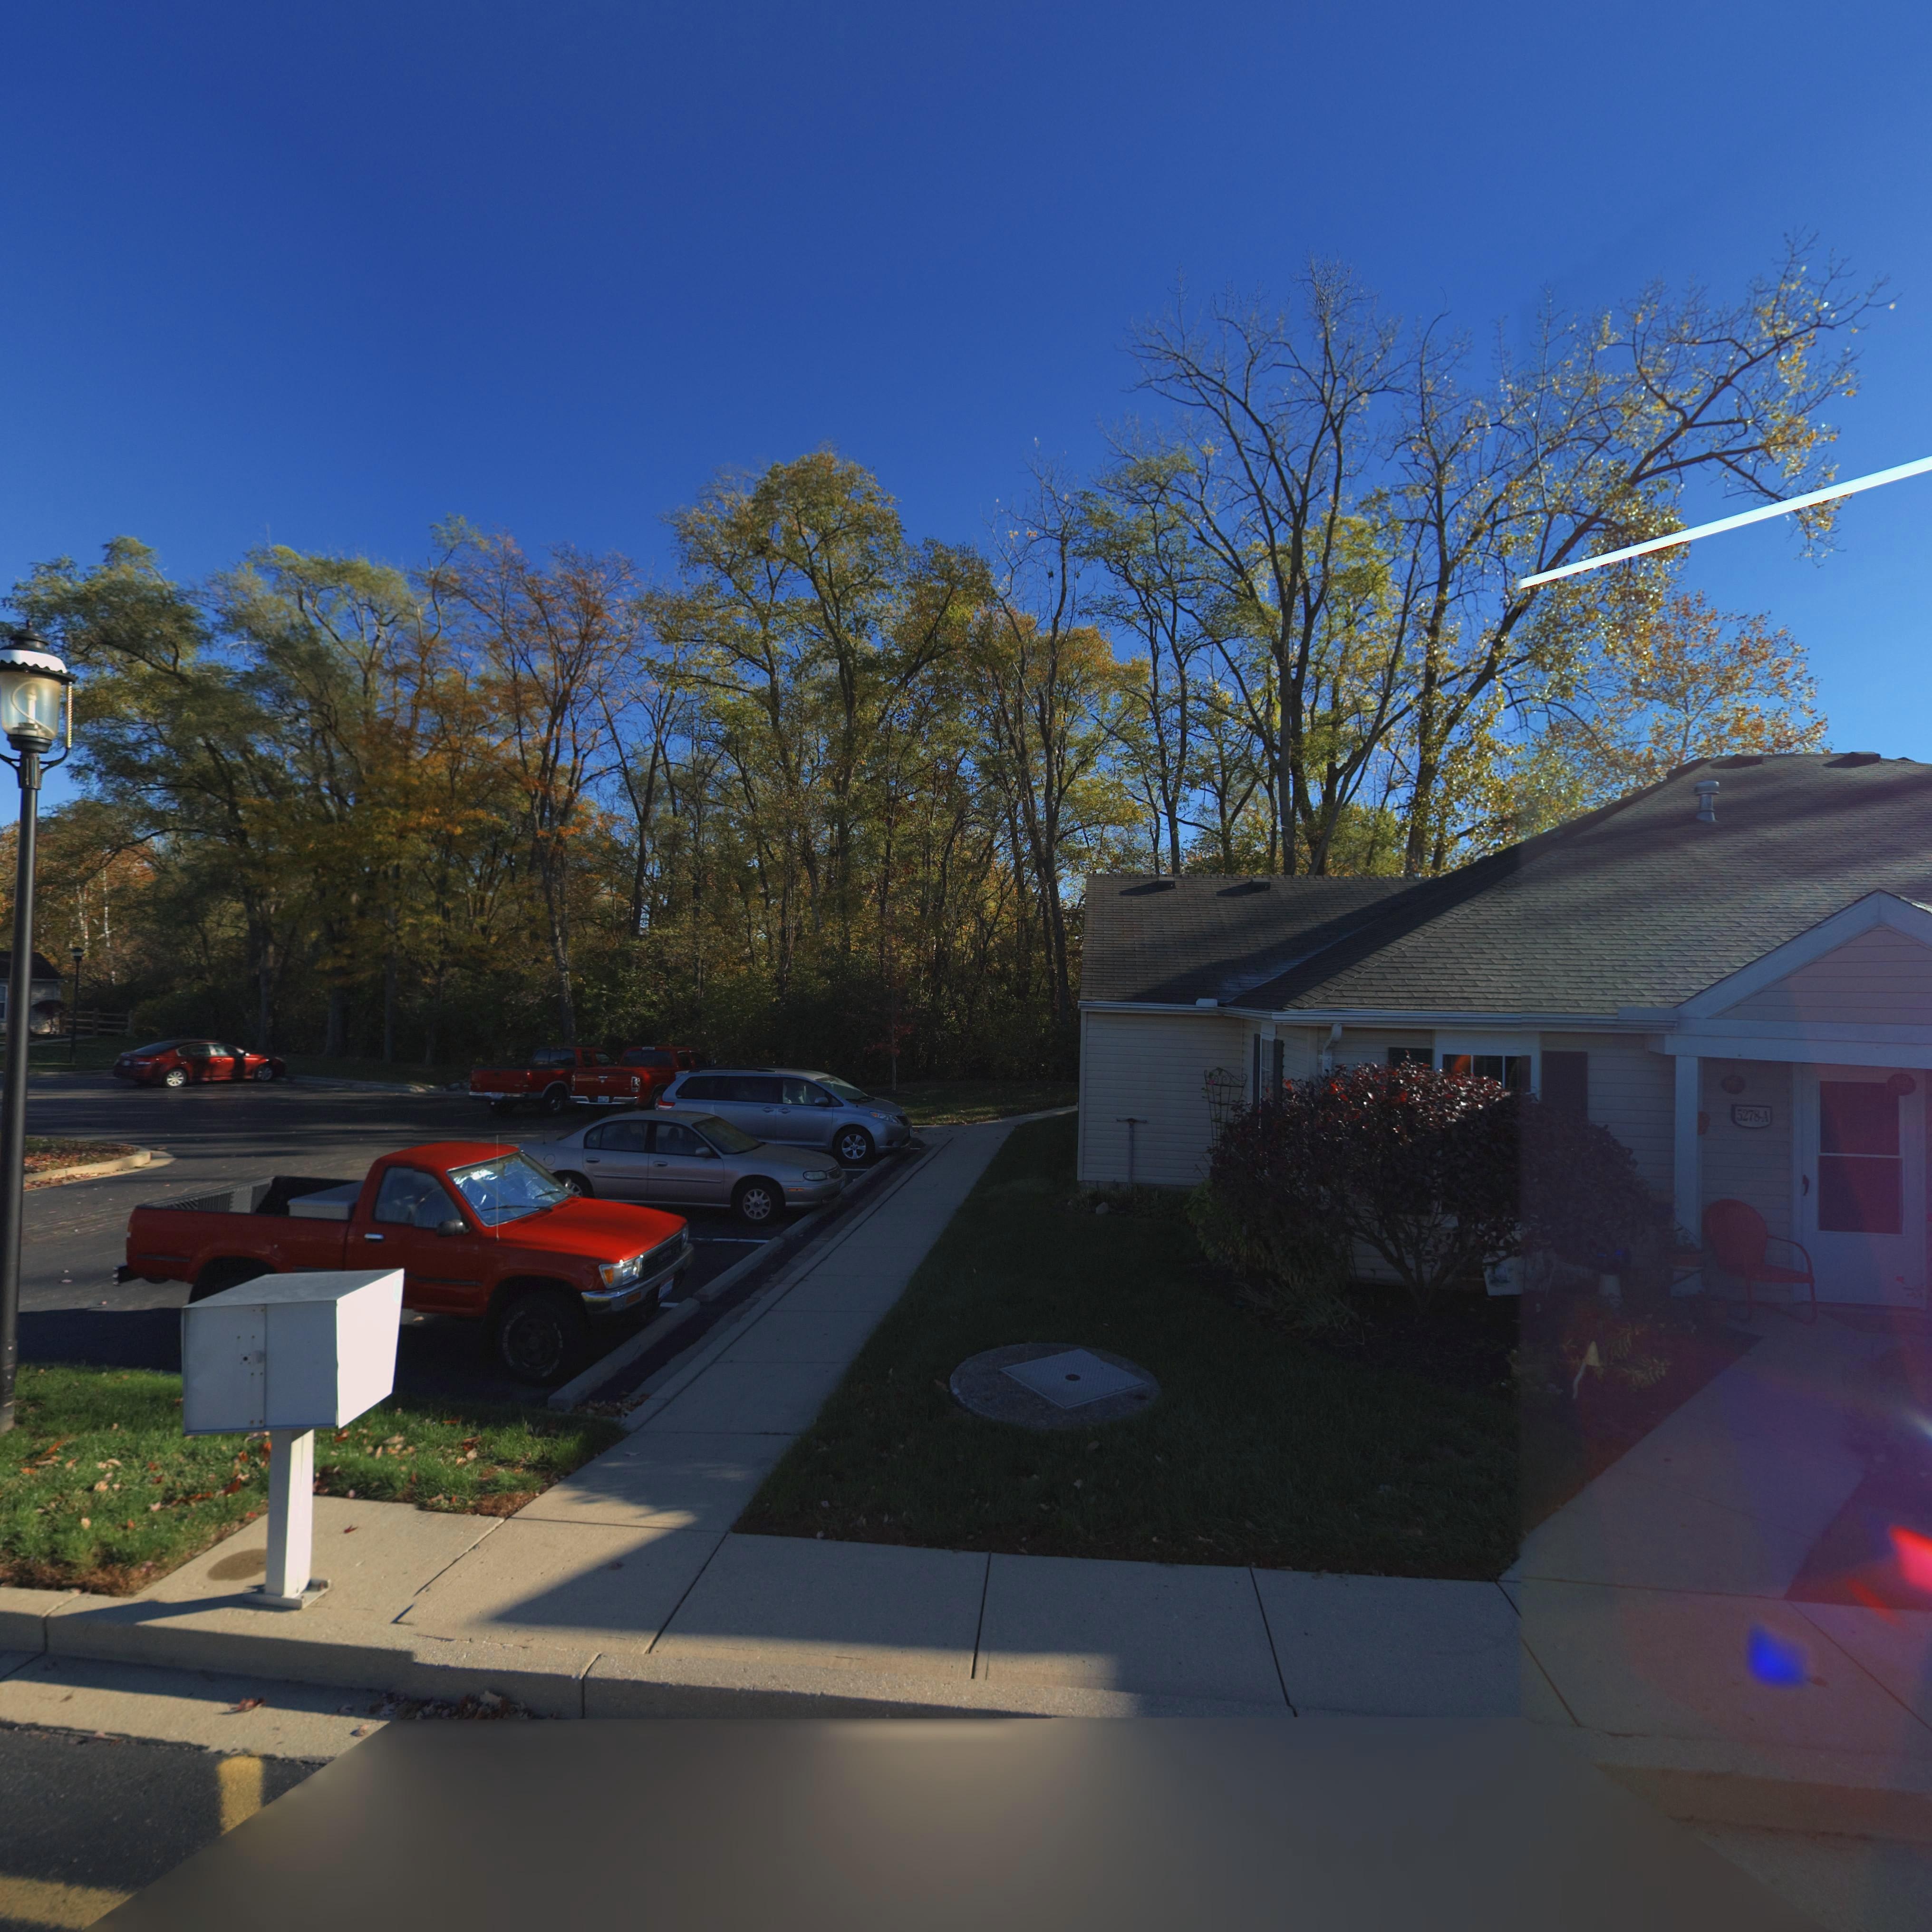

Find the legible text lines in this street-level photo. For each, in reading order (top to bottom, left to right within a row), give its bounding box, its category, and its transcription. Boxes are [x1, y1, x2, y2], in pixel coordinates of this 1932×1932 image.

[1736, 1108, 1770, 1123] StreetNumber: 5278-A